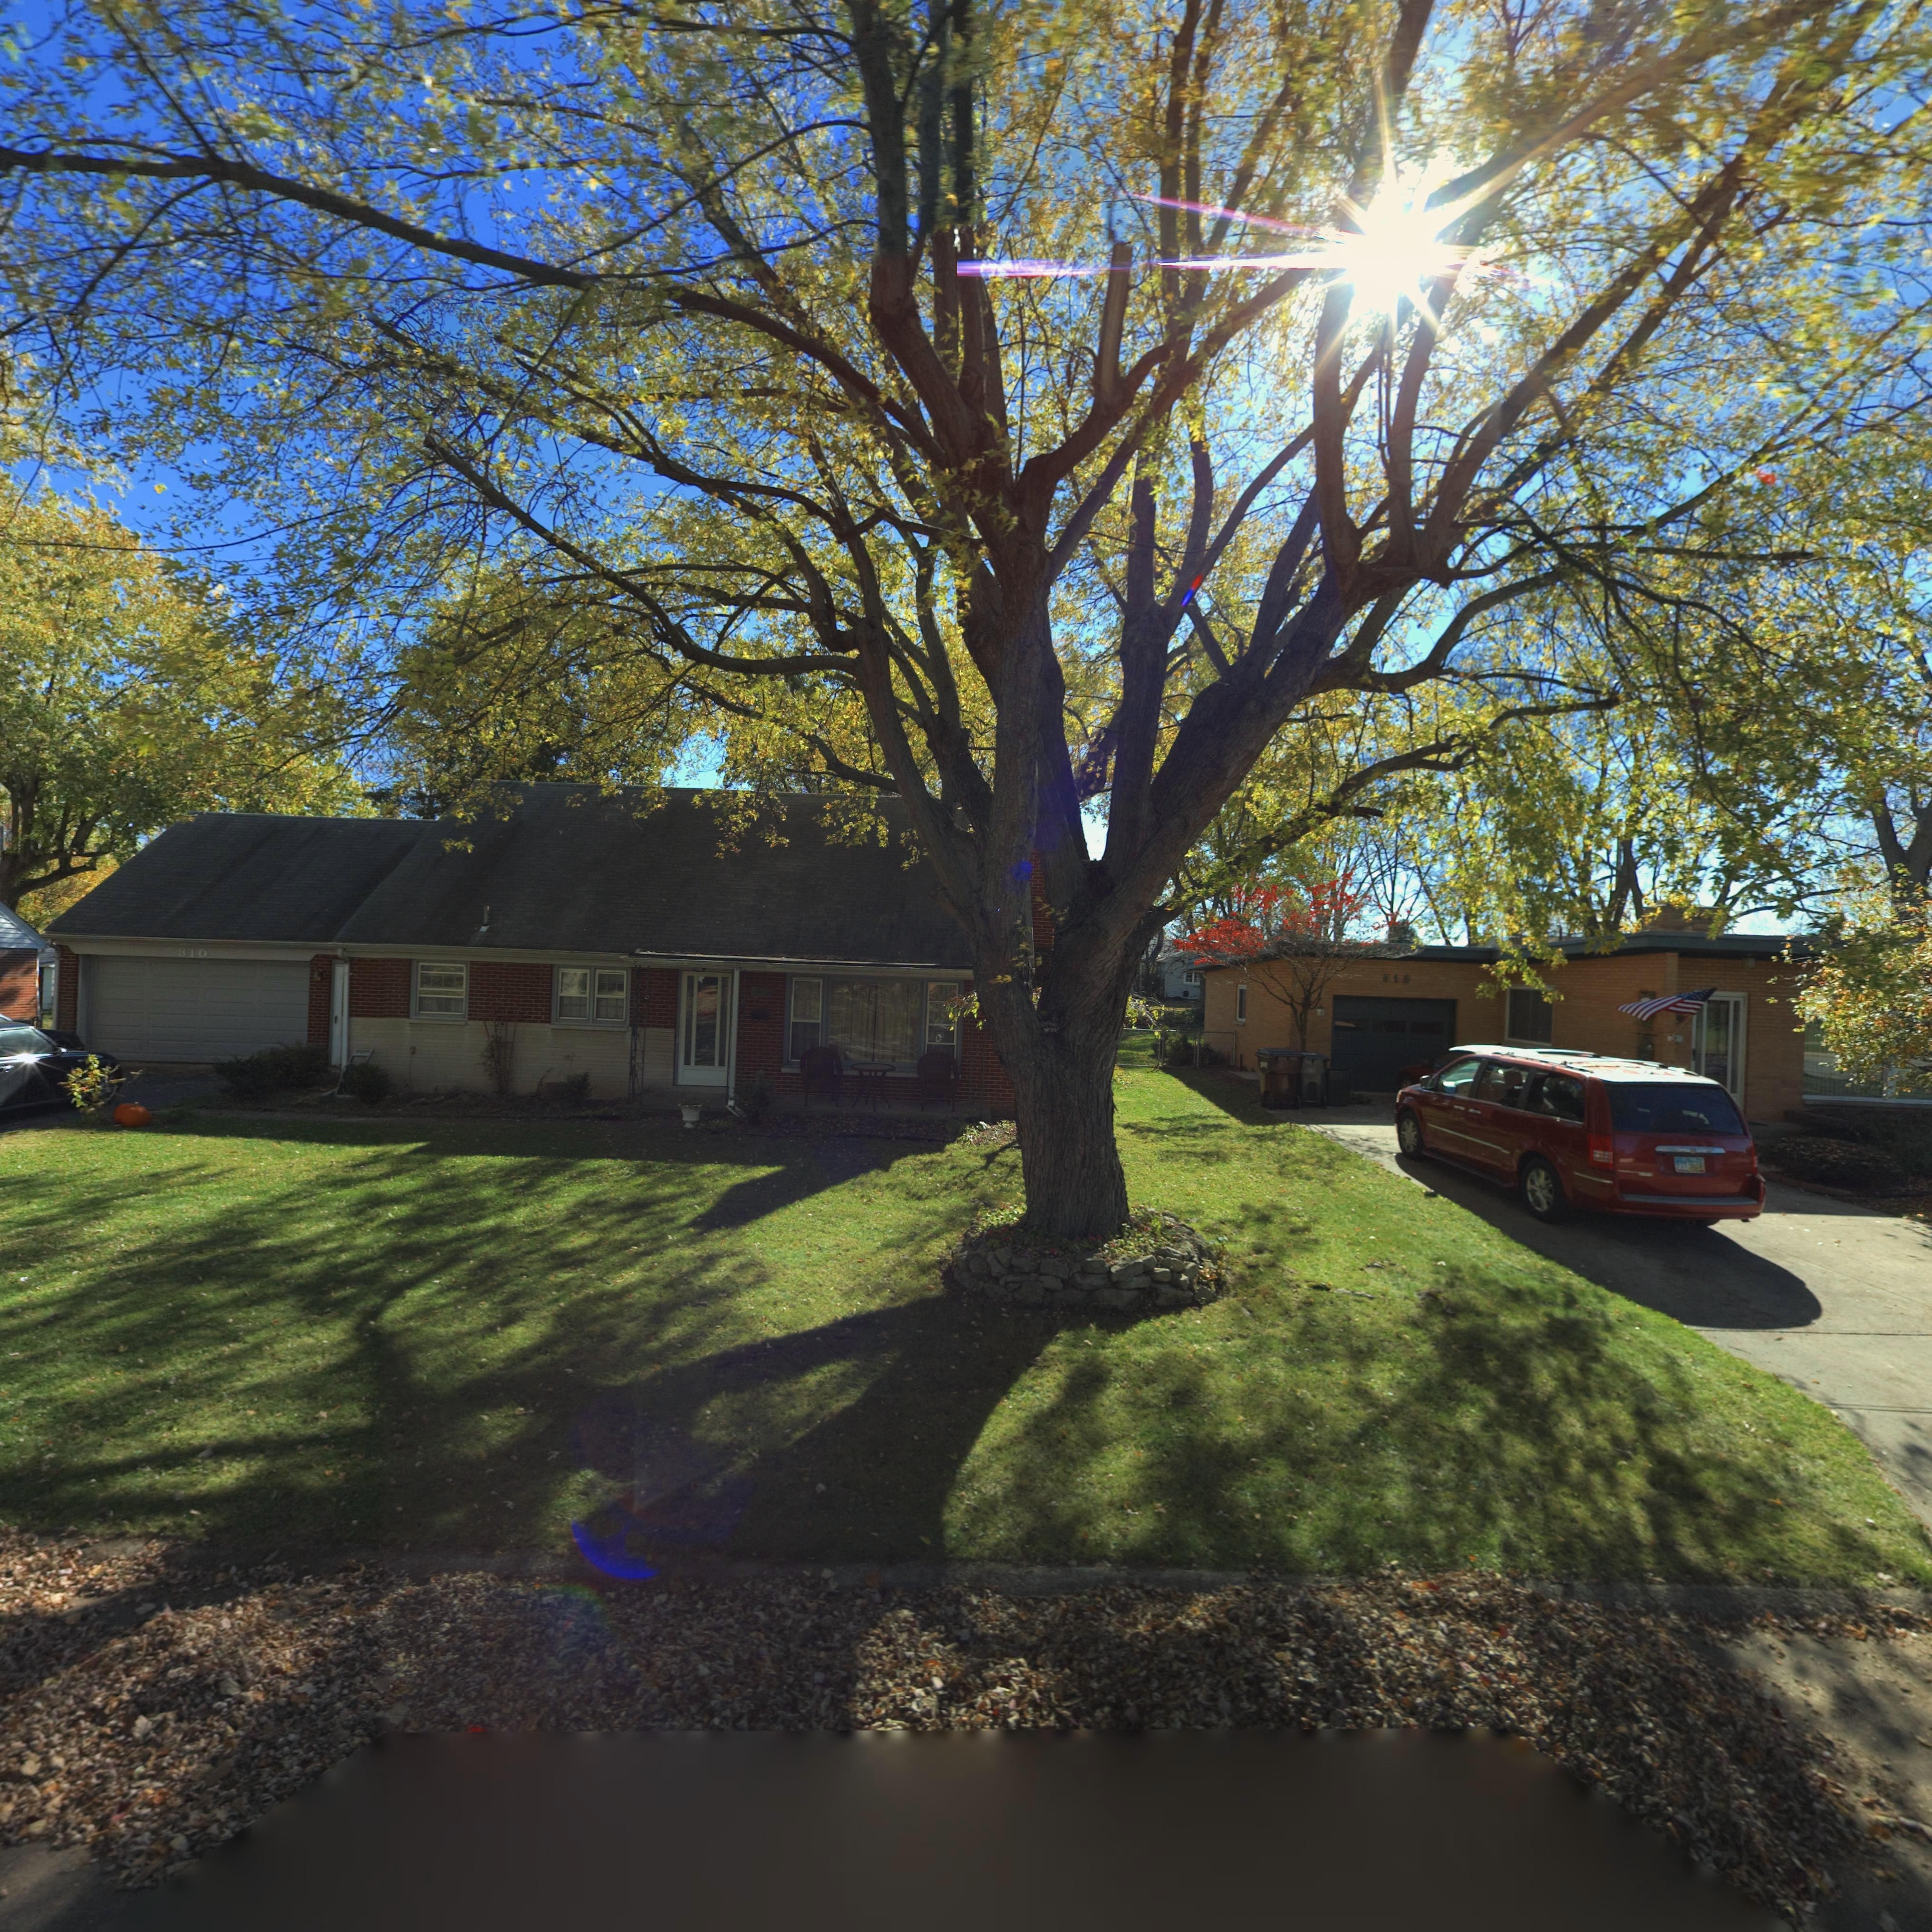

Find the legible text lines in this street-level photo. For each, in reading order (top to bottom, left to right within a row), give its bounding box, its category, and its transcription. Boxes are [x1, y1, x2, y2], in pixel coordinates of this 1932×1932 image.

[177, 947, 208, 959] StreetNumber: 310
[1382, 973, 1410, 984] StreetNumber: 312